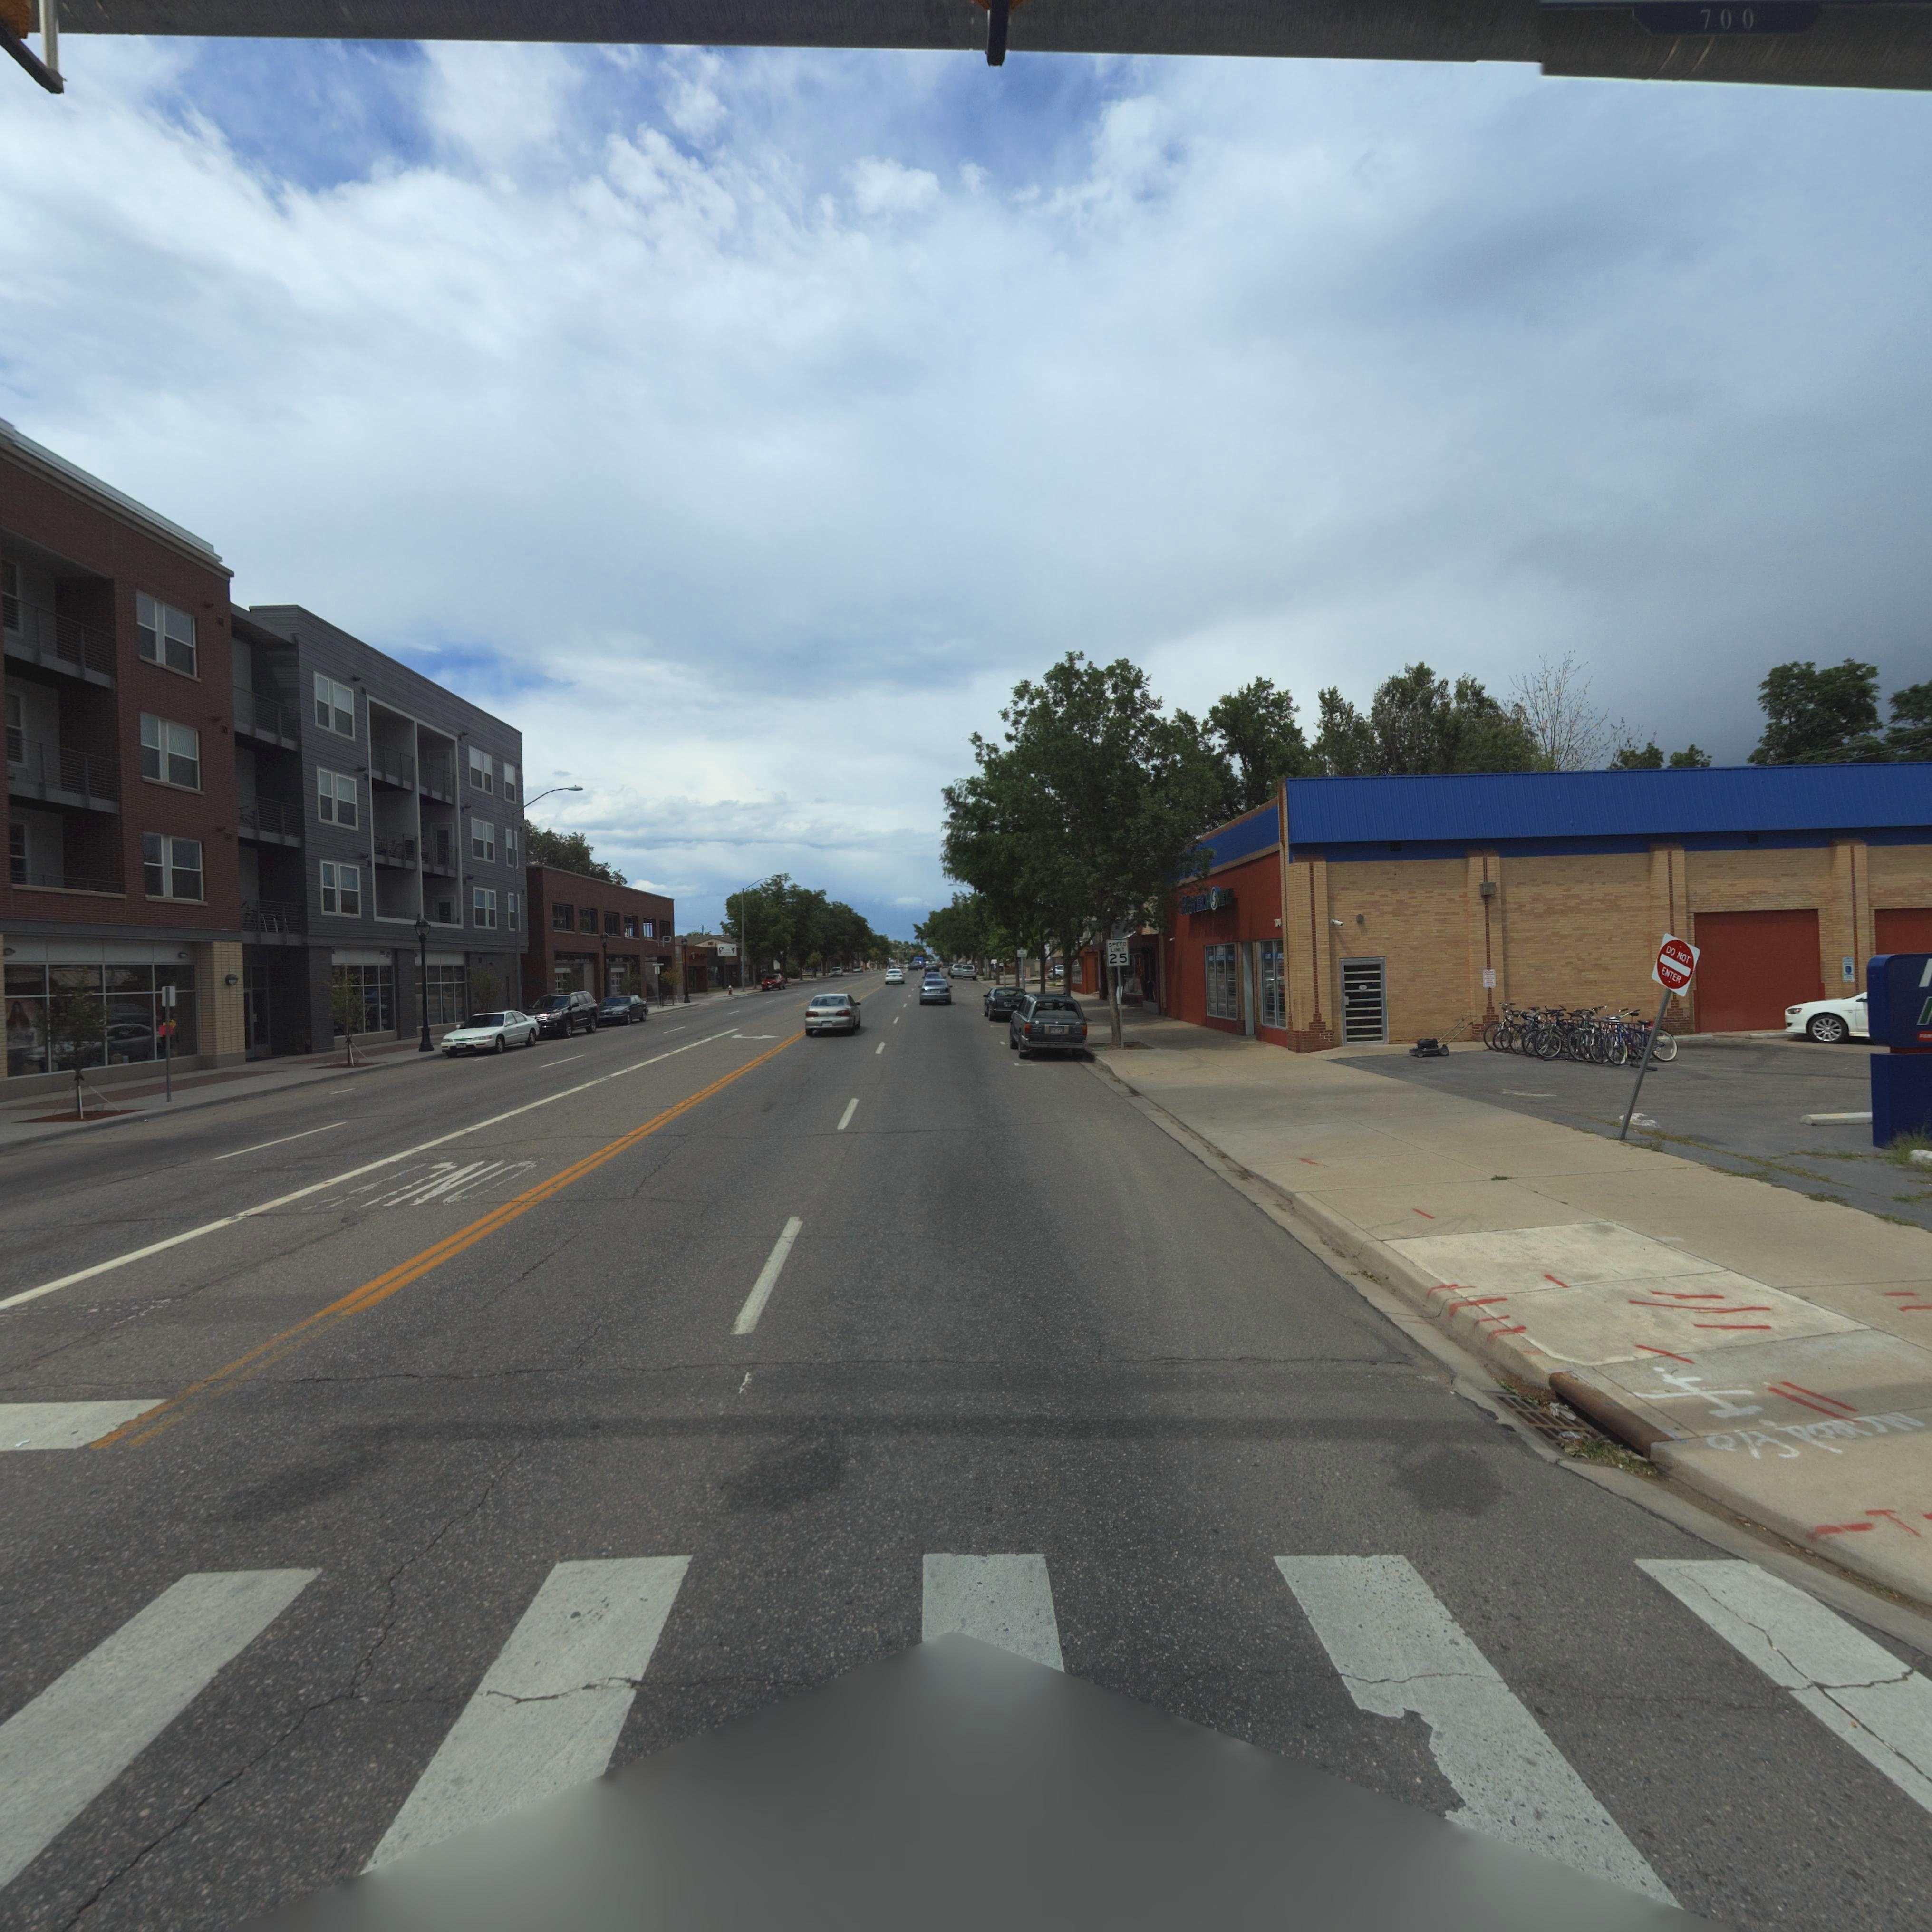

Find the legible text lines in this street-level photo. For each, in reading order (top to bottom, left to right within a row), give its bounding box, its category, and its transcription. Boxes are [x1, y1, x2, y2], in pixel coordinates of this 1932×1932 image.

[1698, 6, 1756, 31] StreetName: 700
[1179, 887, 1231, 916] BusinessName: M***ERM*NEY
[1273, 918, 1281, 927] StreetNumber: **4
[718, 946, 724, 954] BusinessName: f